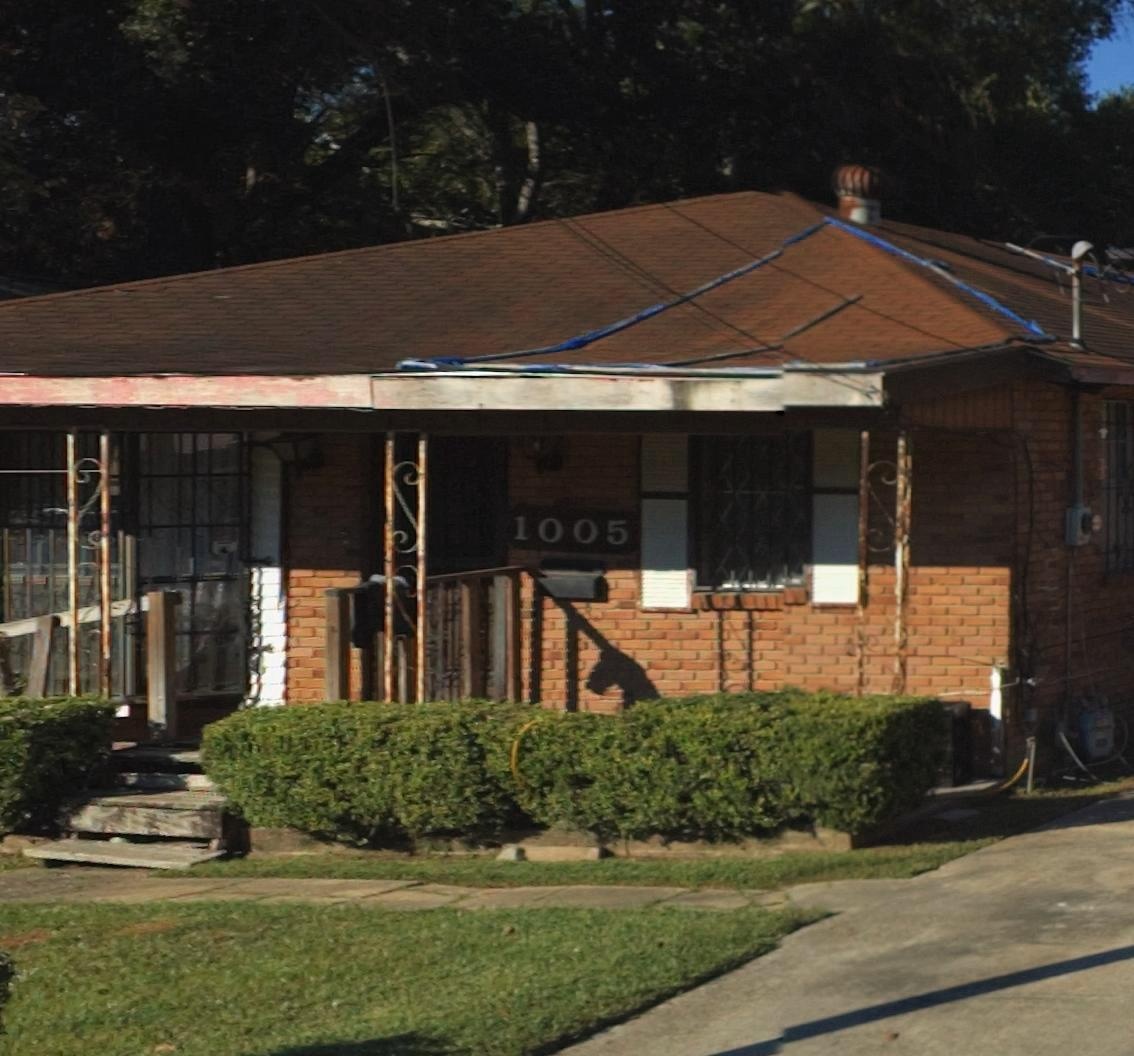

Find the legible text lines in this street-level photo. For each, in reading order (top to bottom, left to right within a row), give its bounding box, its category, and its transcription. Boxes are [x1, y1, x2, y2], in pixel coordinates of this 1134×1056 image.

[511, 512, 631, 548] StreetNumber: 1005